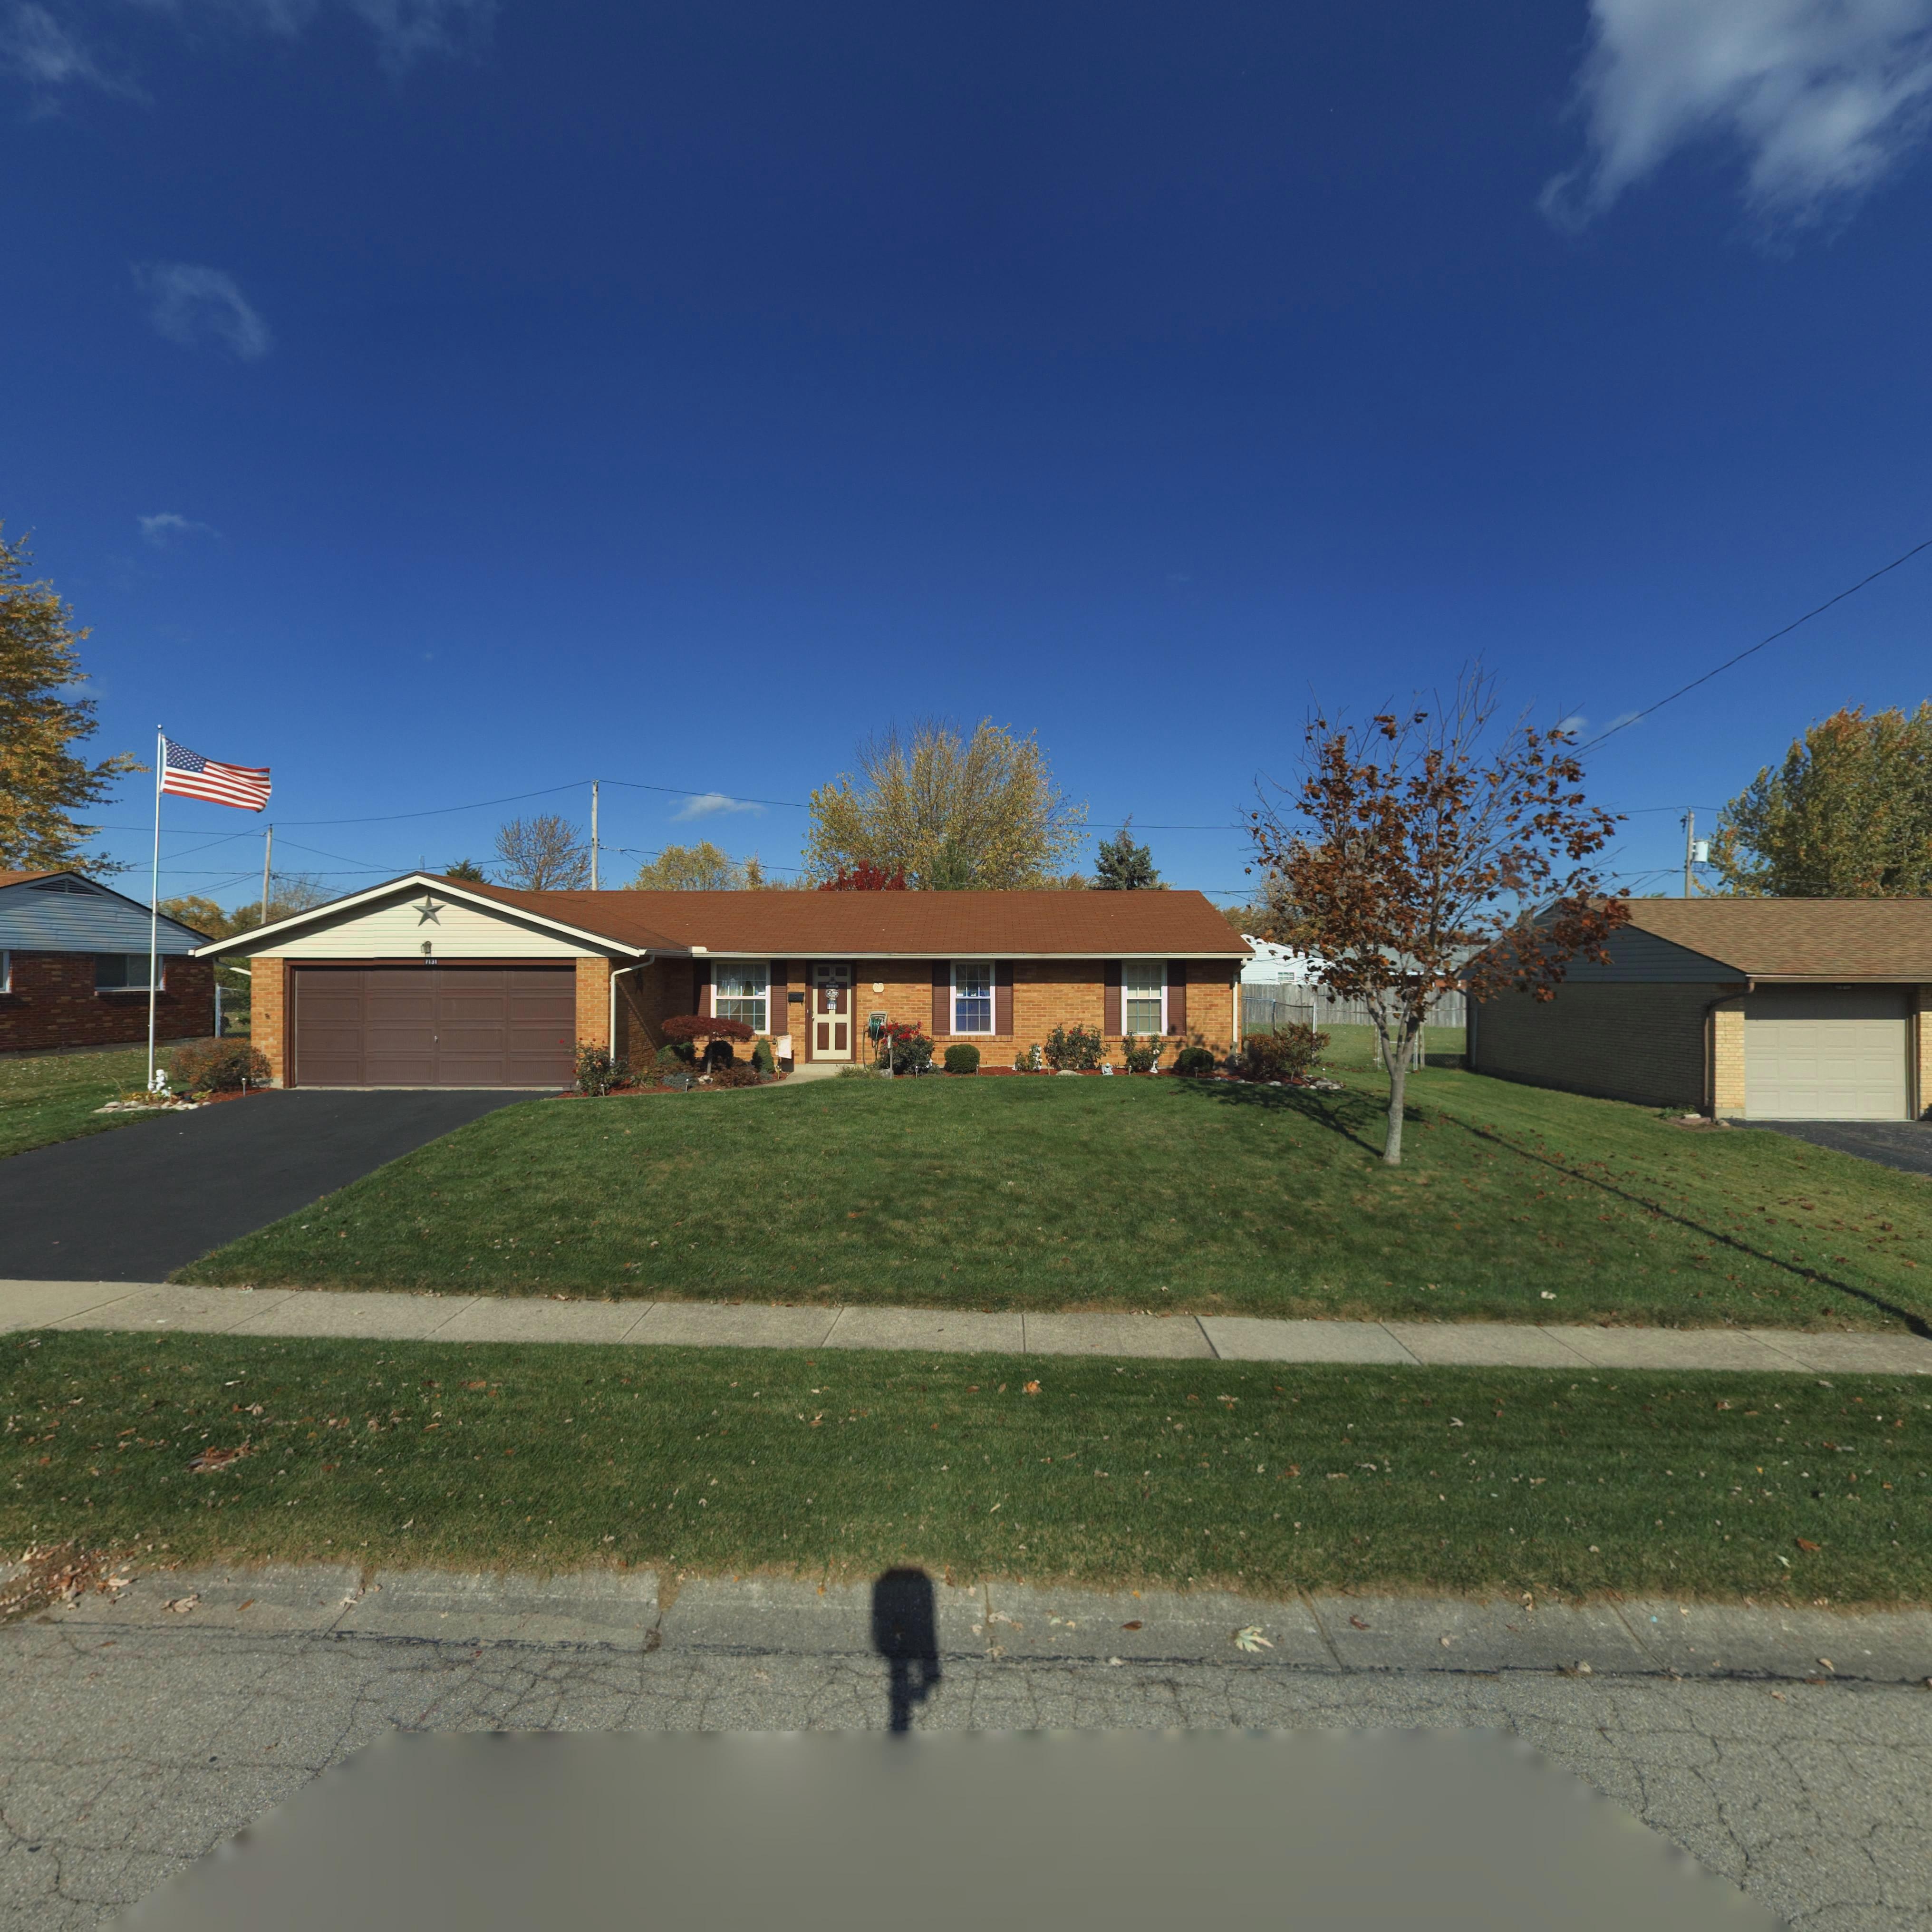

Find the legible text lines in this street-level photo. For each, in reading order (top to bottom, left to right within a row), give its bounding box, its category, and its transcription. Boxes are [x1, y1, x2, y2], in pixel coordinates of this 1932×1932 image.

[424, 958, 438, 966] StreetNumber: *131